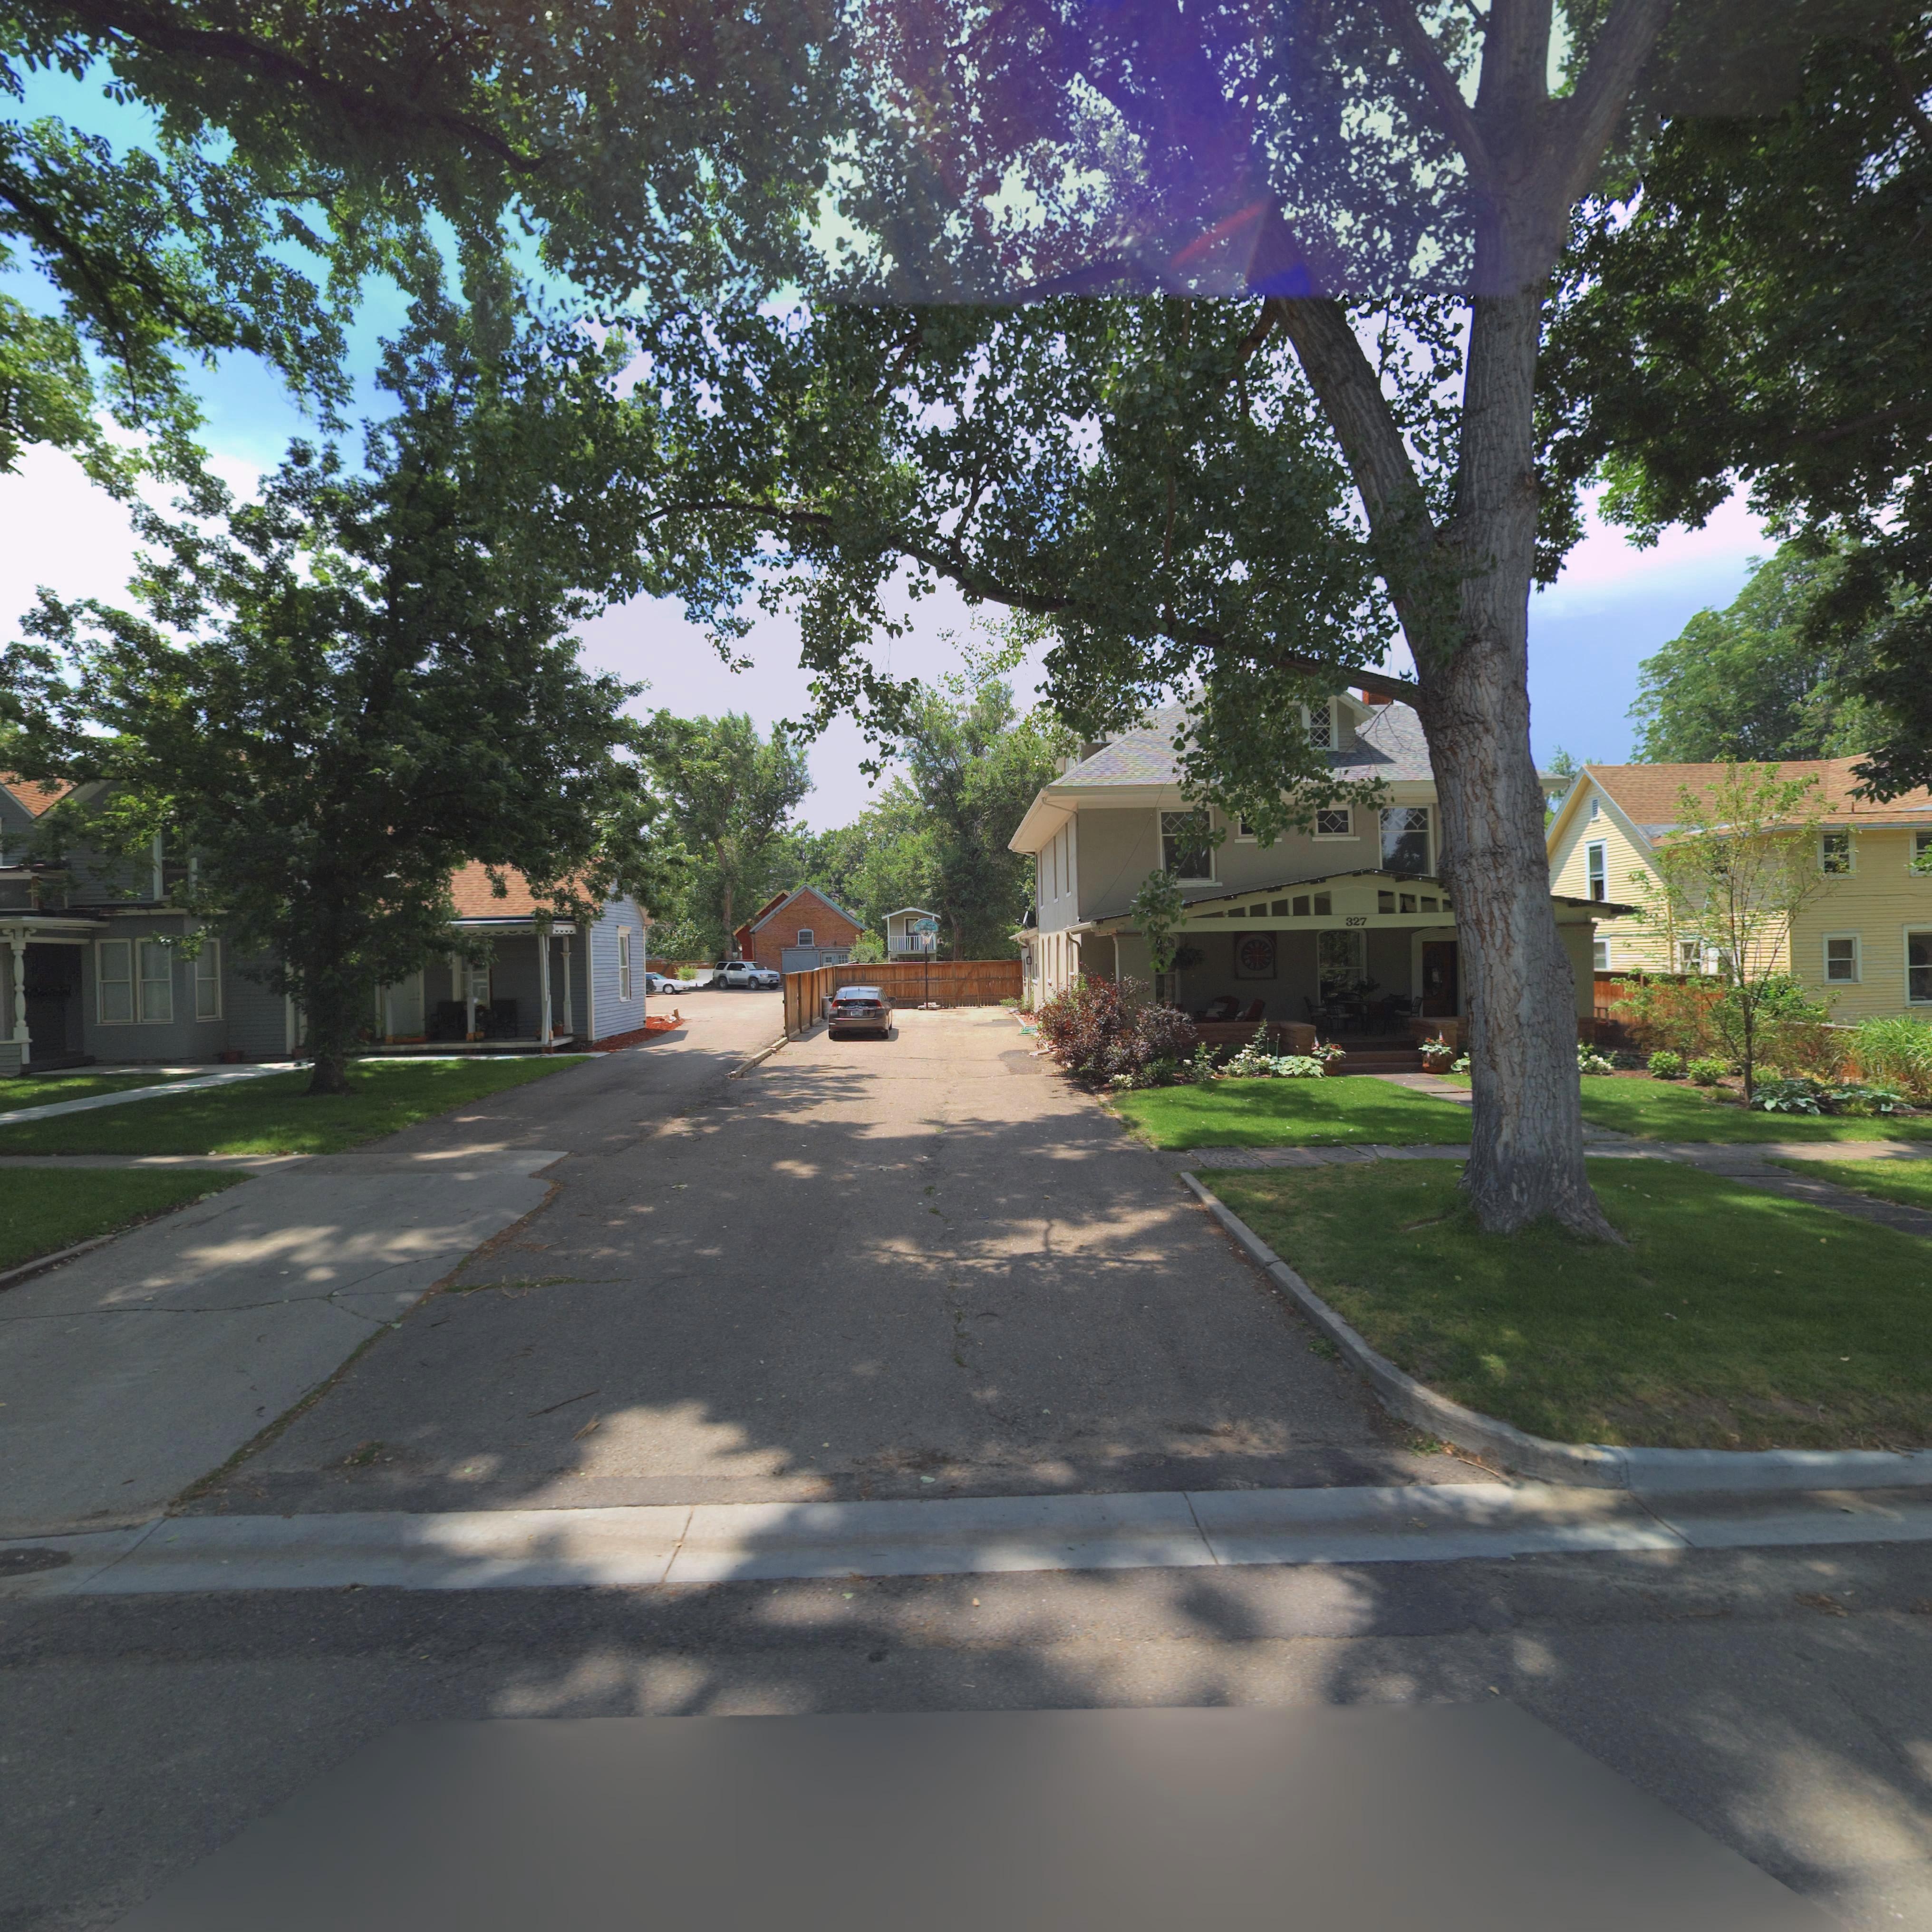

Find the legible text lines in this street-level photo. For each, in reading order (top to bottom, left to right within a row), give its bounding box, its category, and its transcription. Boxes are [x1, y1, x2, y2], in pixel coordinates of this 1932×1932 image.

[1346, 917, 1367, 926] StreetNumber: 327